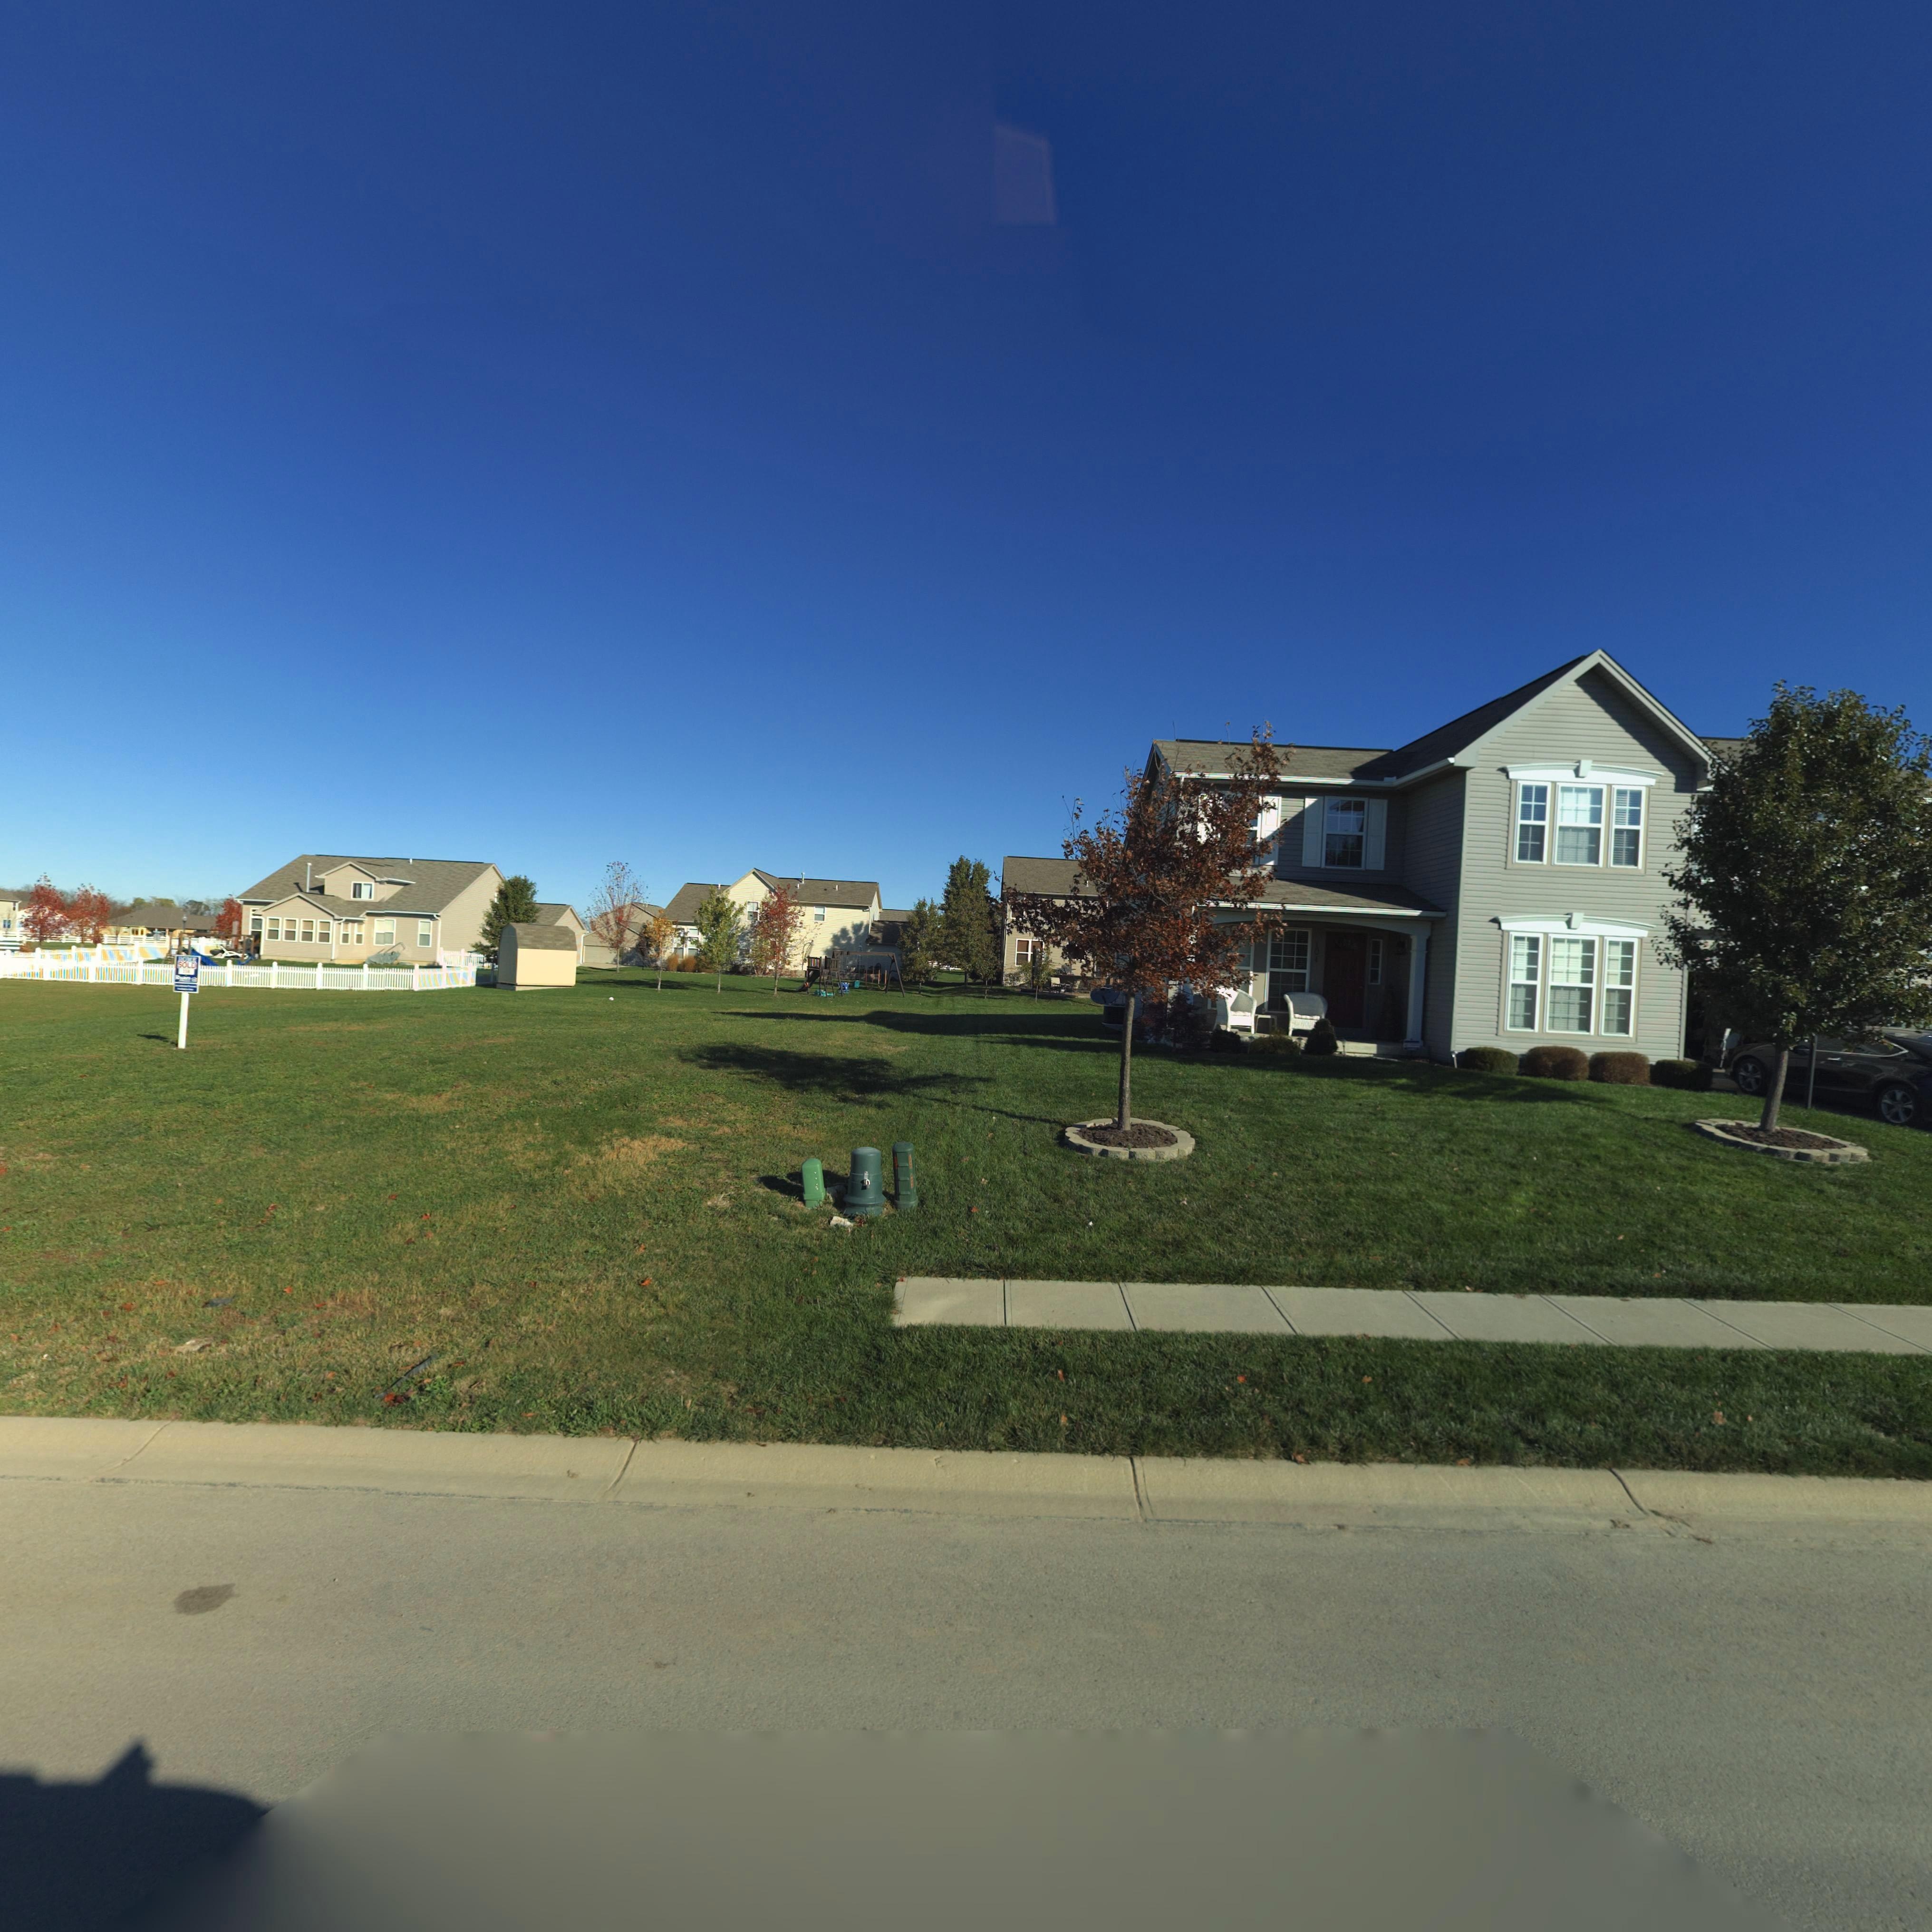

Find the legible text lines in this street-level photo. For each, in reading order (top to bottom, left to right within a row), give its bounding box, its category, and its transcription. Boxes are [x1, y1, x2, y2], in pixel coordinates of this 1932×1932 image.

[1313, 941, 1319, 963] StreetNumber: 104
[176, 959, 197, 969] None: SOLD